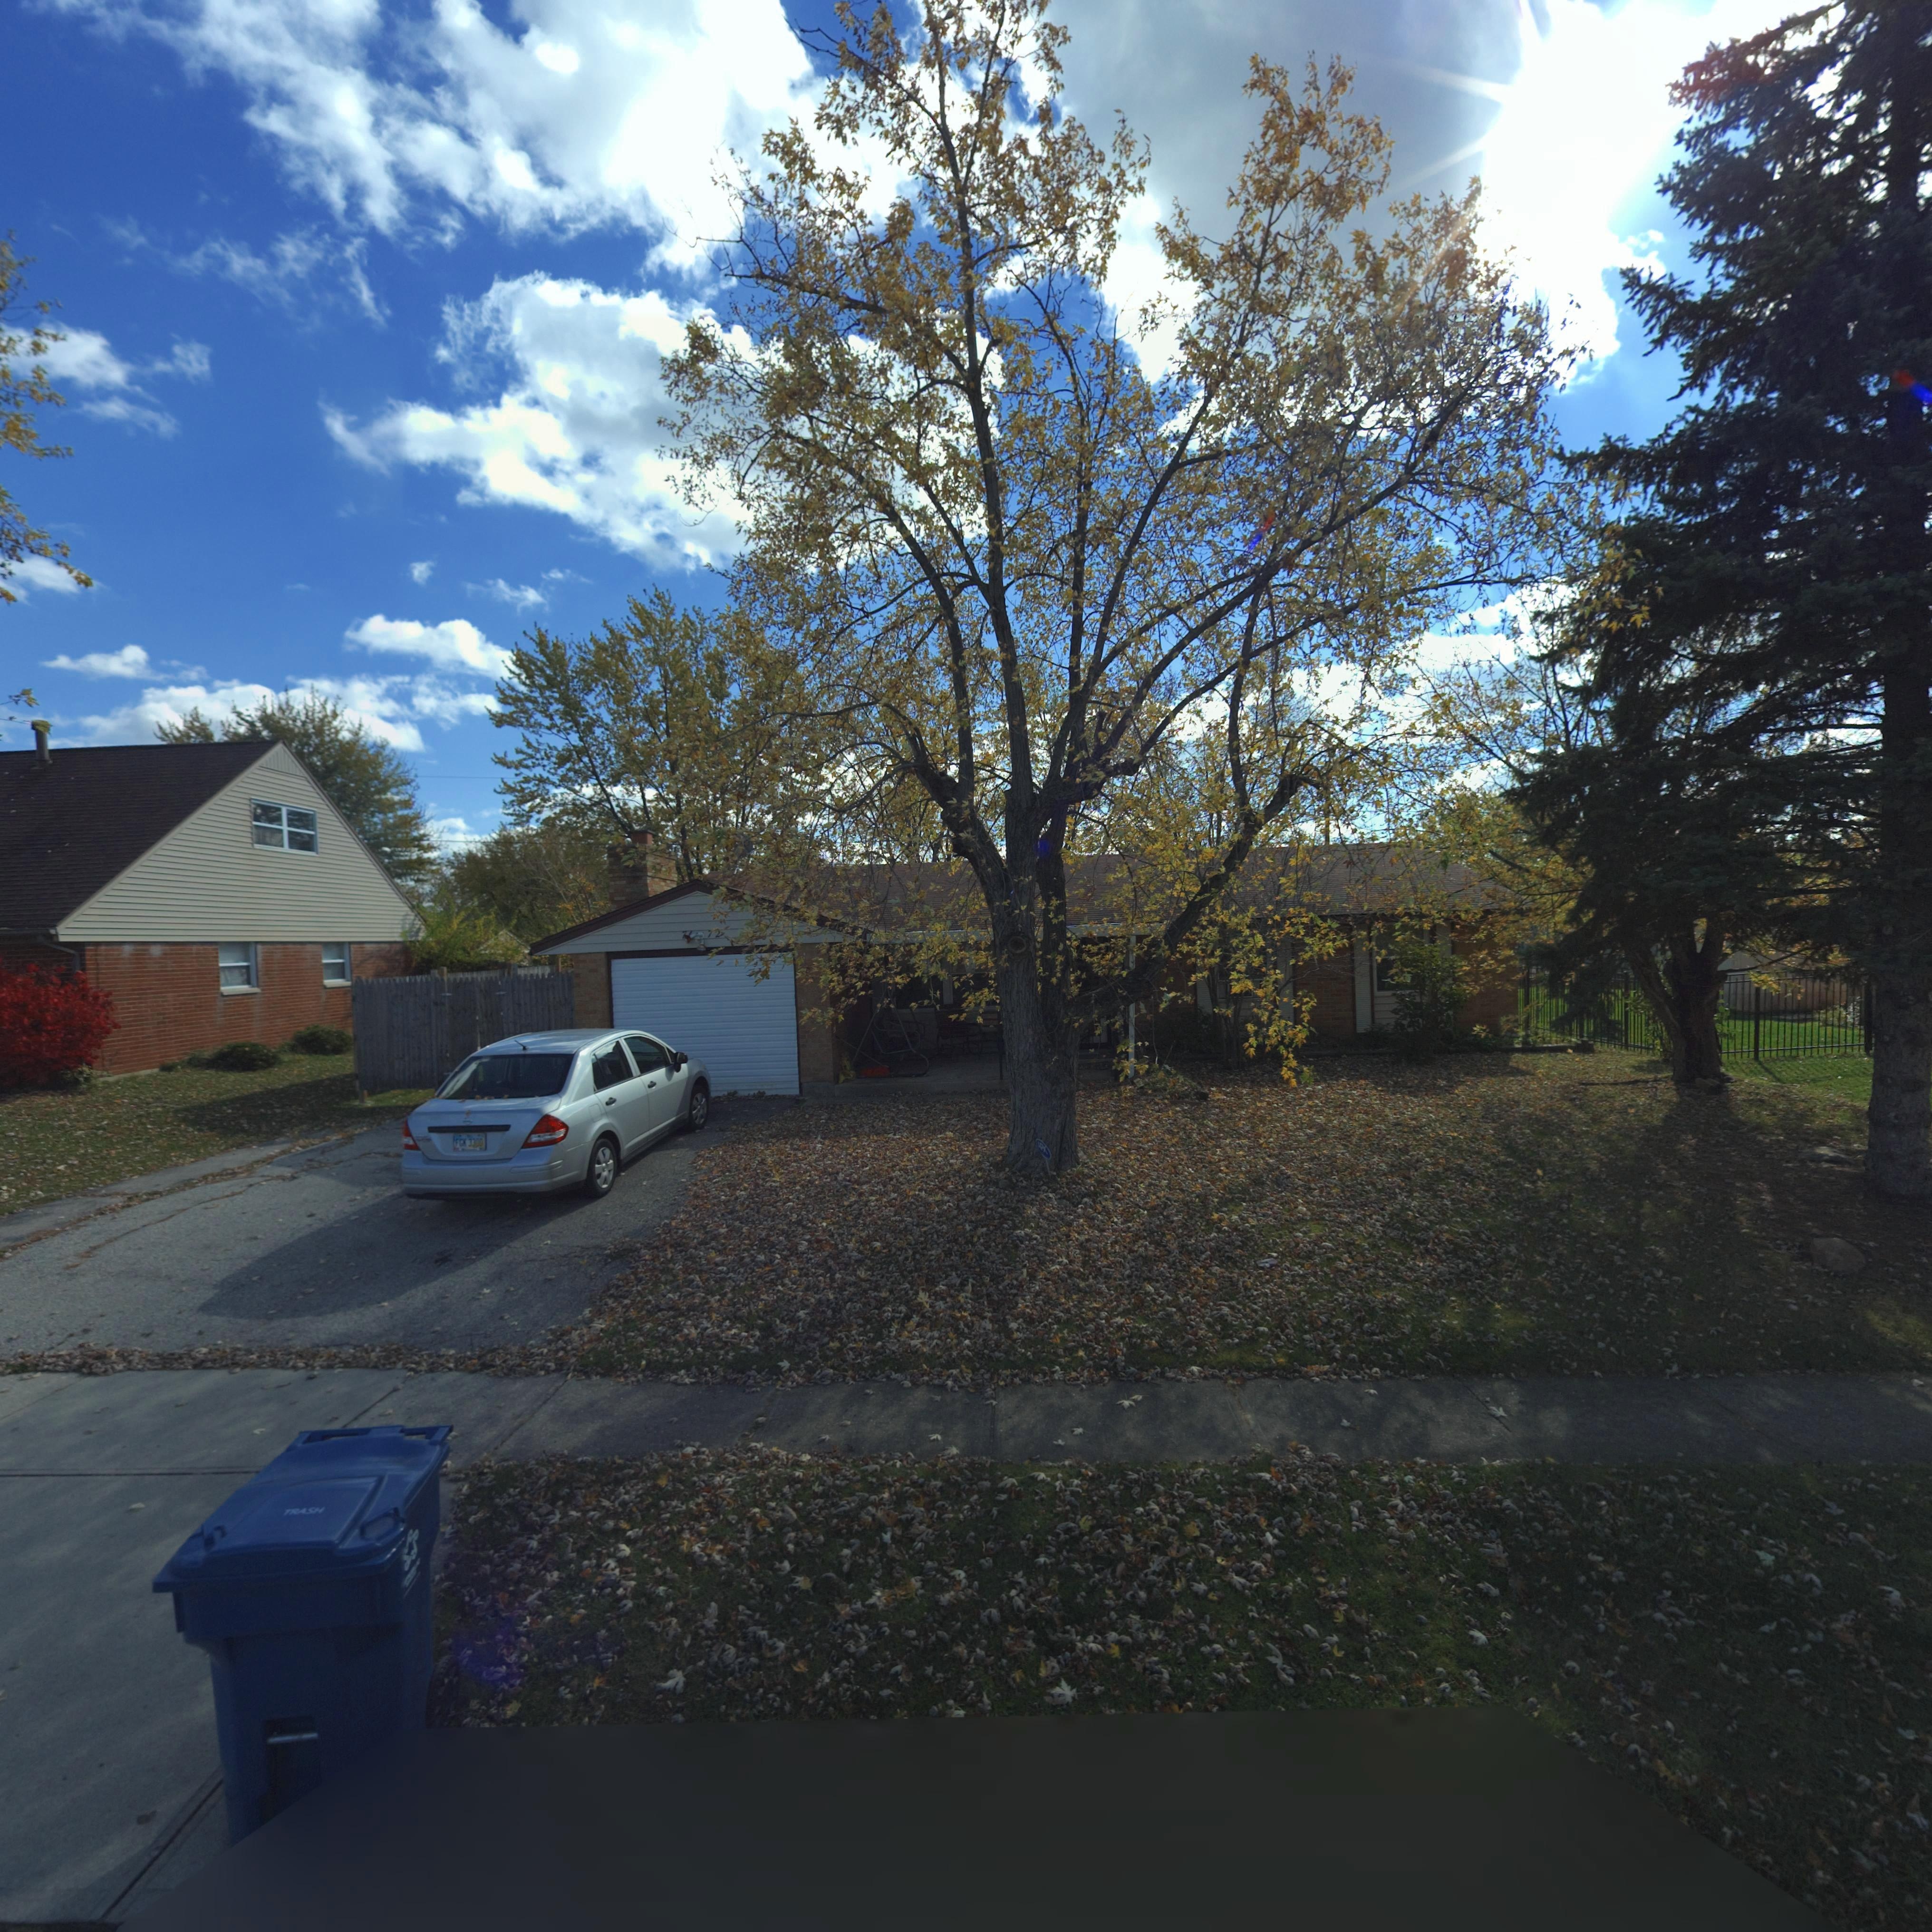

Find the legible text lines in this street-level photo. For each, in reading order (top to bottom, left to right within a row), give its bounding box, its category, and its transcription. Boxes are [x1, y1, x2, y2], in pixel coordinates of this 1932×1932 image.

[681, 929, 721, 939] StreetNumber: 7**72